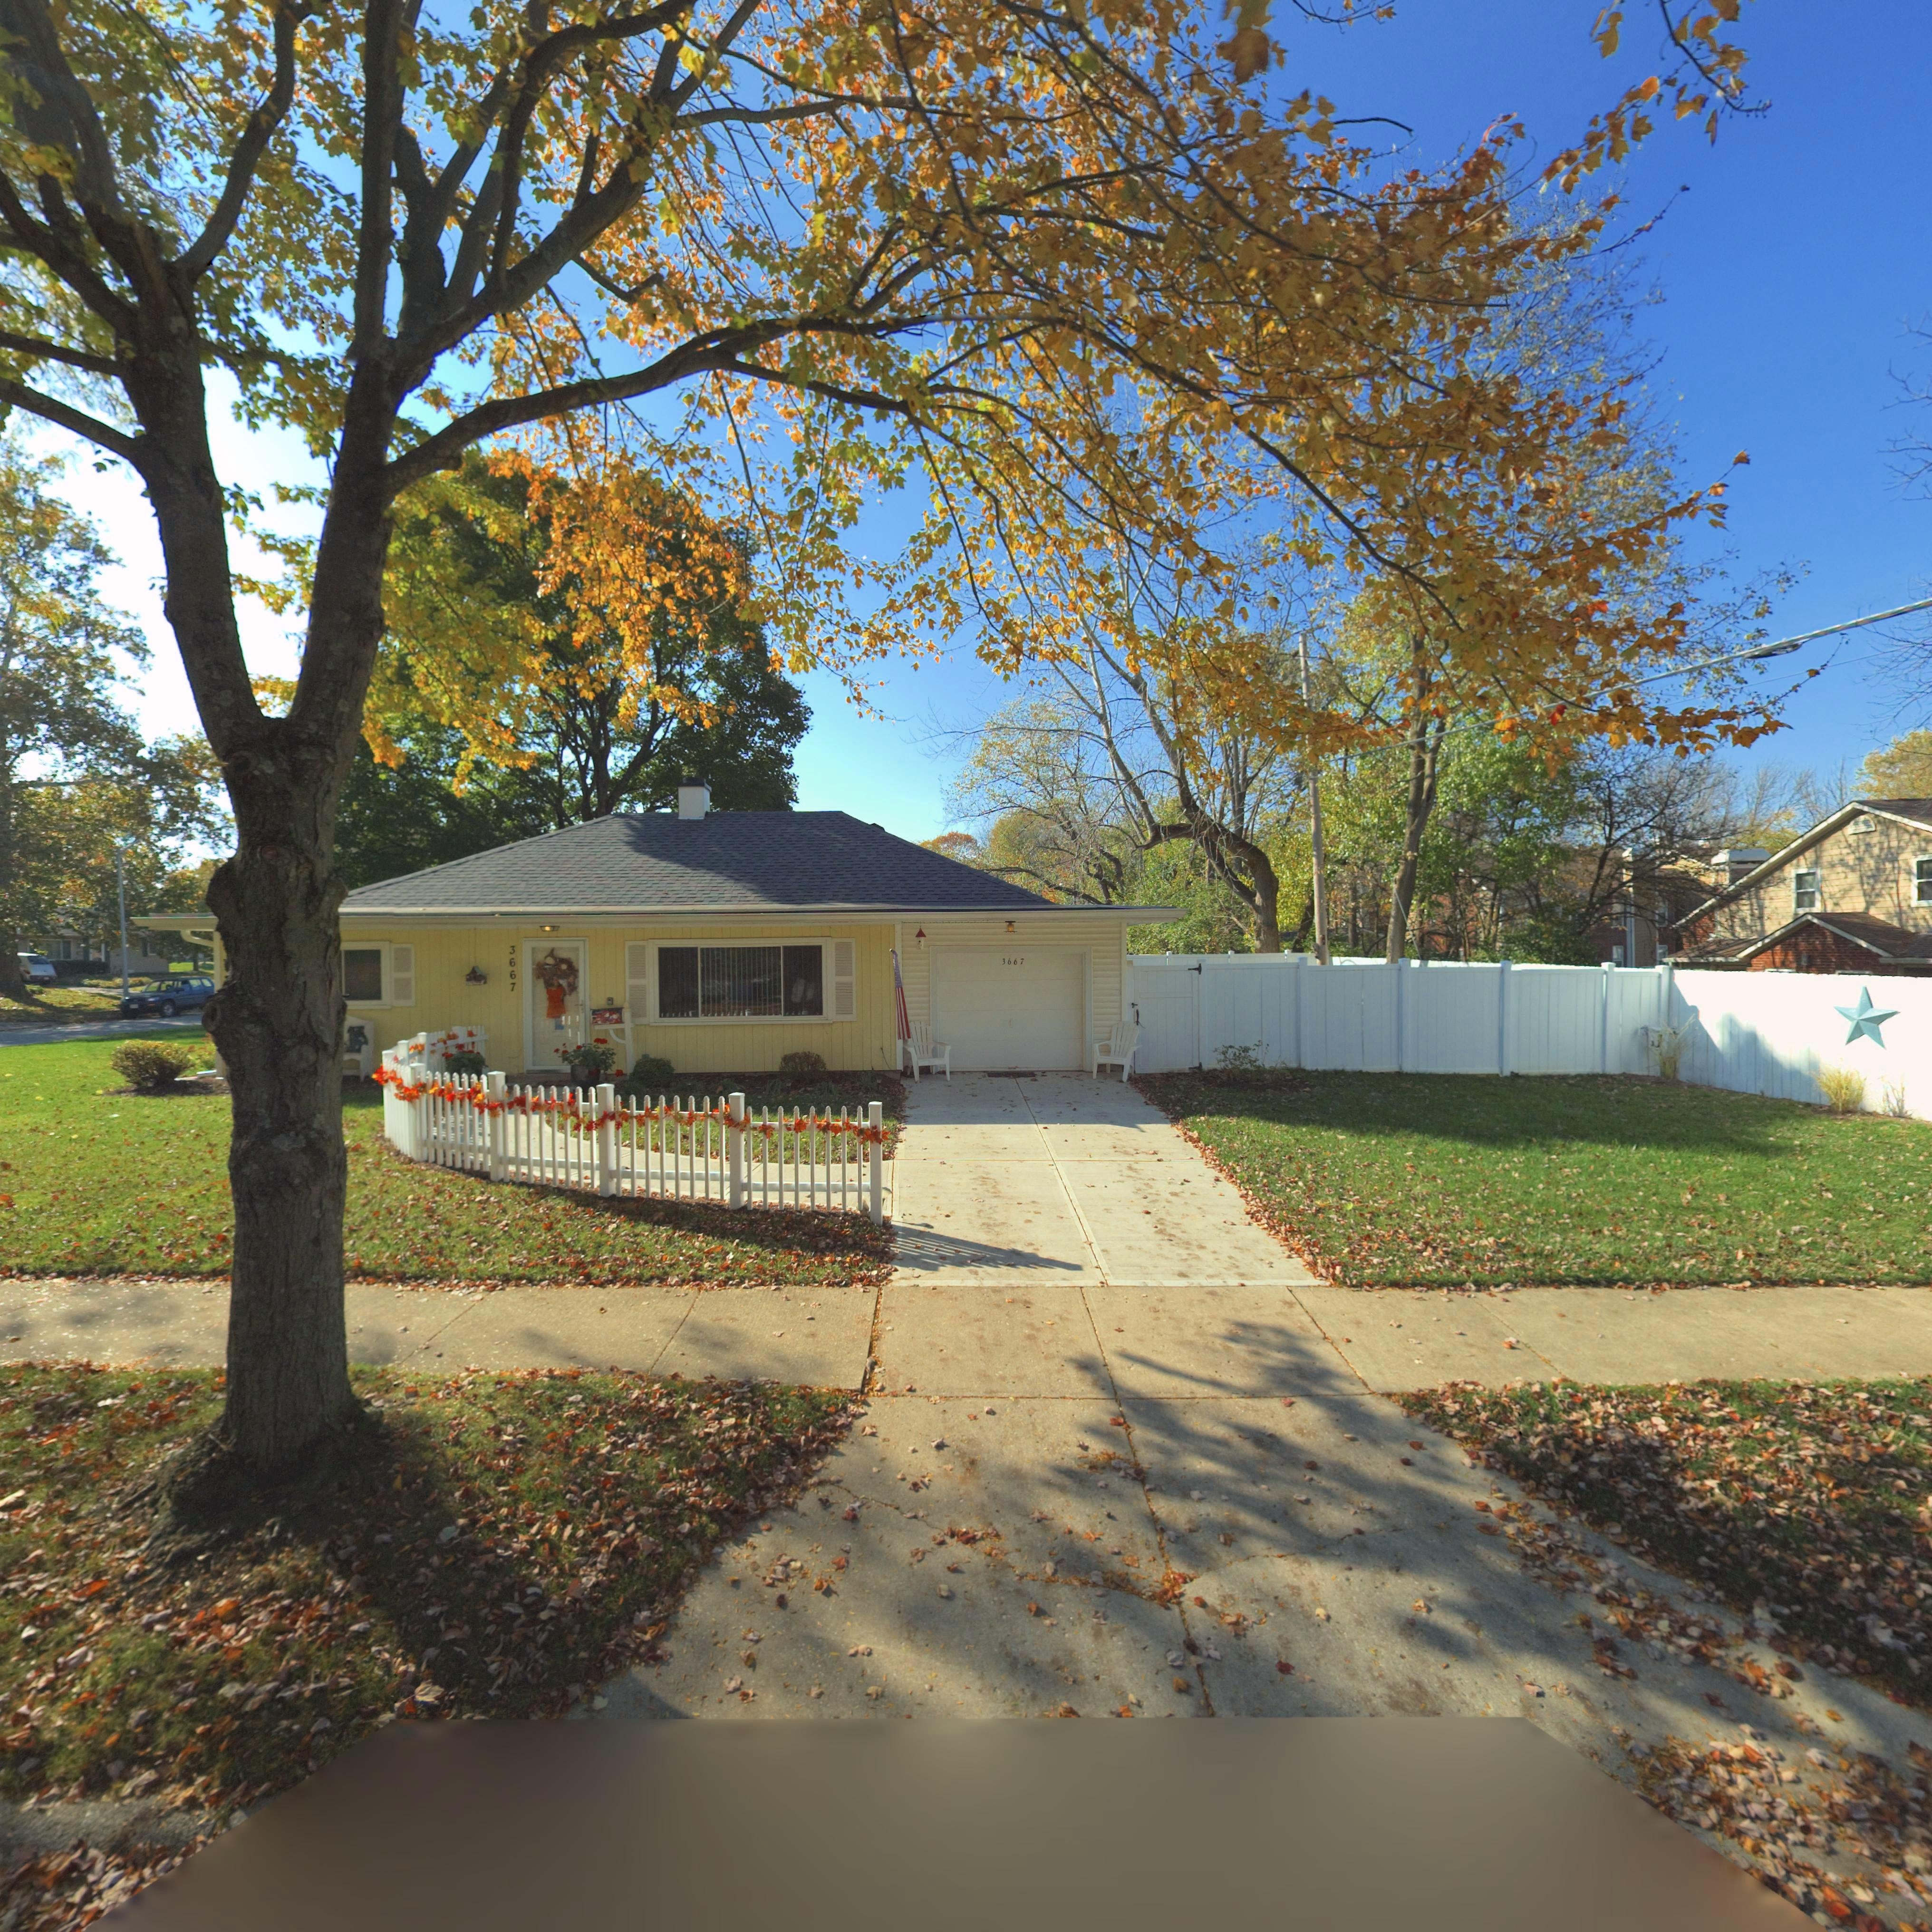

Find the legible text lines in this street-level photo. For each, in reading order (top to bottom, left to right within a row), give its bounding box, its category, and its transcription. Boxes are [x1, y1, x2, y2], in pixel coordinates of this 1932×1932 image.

[509, 944, 516, 992] StreetNumber: 3667
[1001, 957, 1025, 966] StreetNumber: 3667